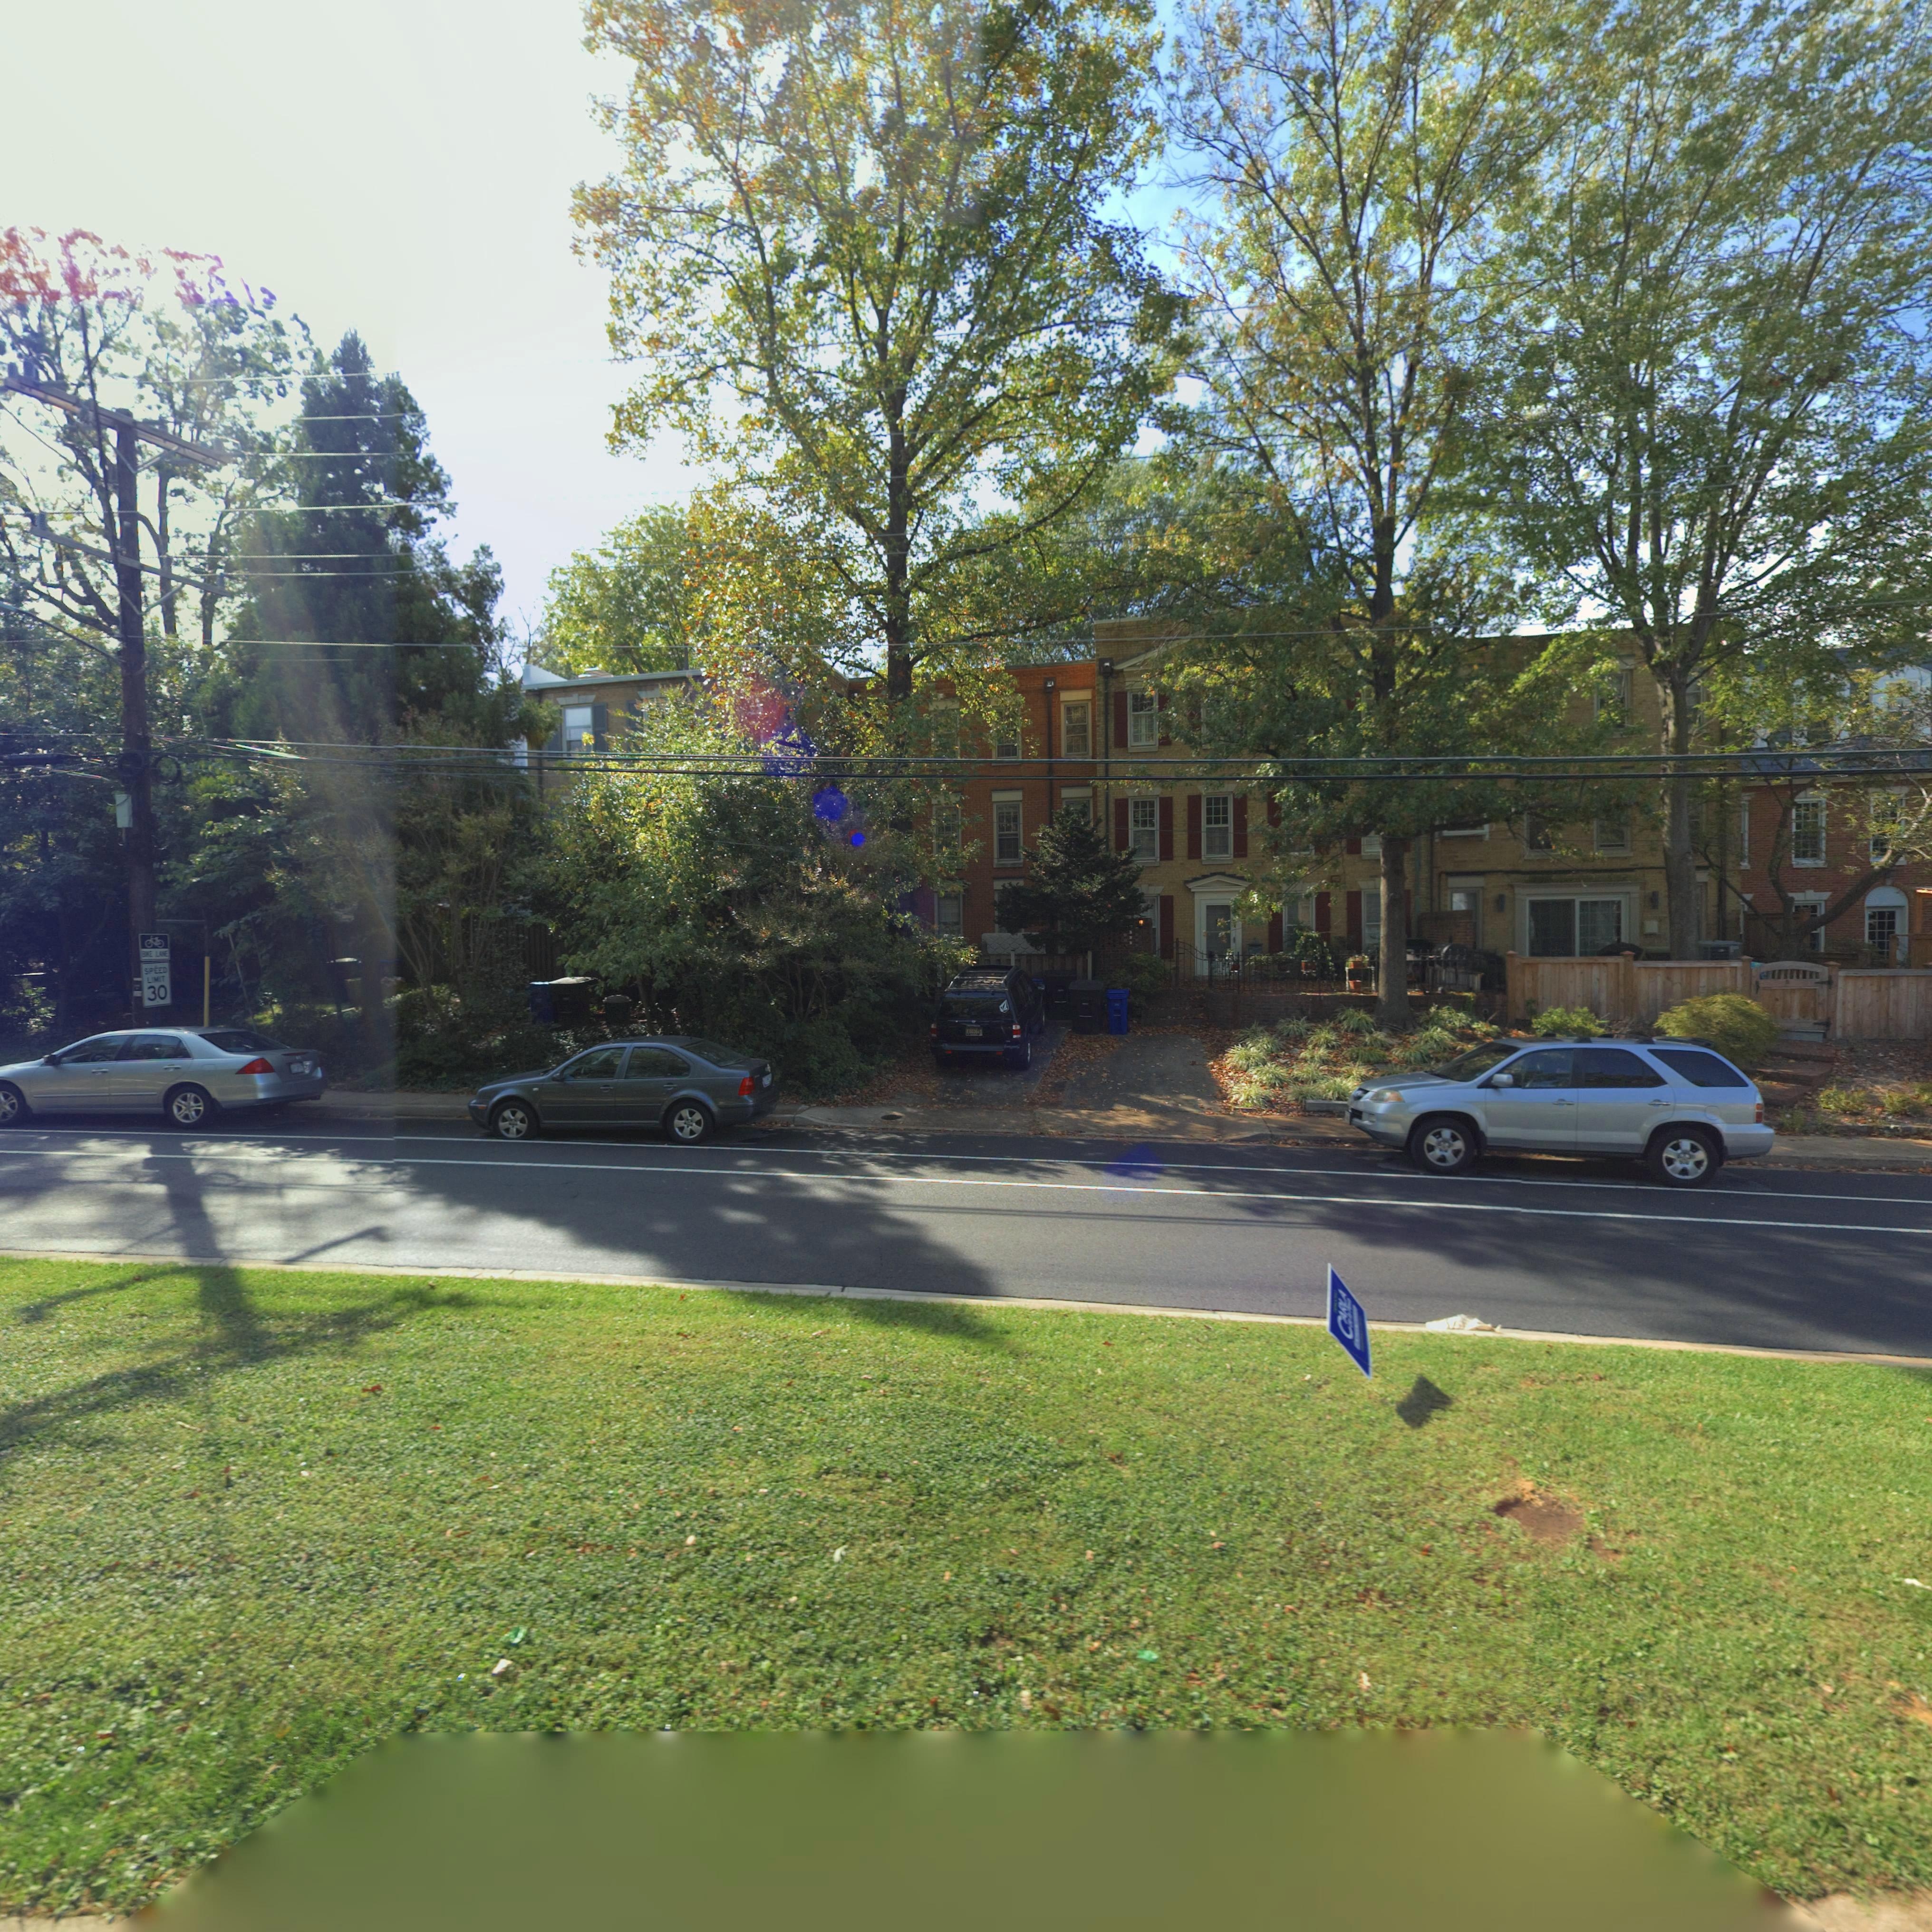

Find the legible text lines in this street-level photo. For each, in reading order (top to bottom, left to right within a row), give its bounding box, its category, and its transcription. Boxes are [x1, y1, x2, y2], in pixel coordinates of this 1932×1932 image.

[141, 950, 169, 958] None: BIKE LANE
[143, 967, 168, 975] None: SPEED
[146, 976, 165, 984] None: LIMIT
[146, 984, 167, 1002] None: 30
[969, 1029, 980, 1034] None: *03*4
[1336, 1288, 1354, 1340] None: CARLA